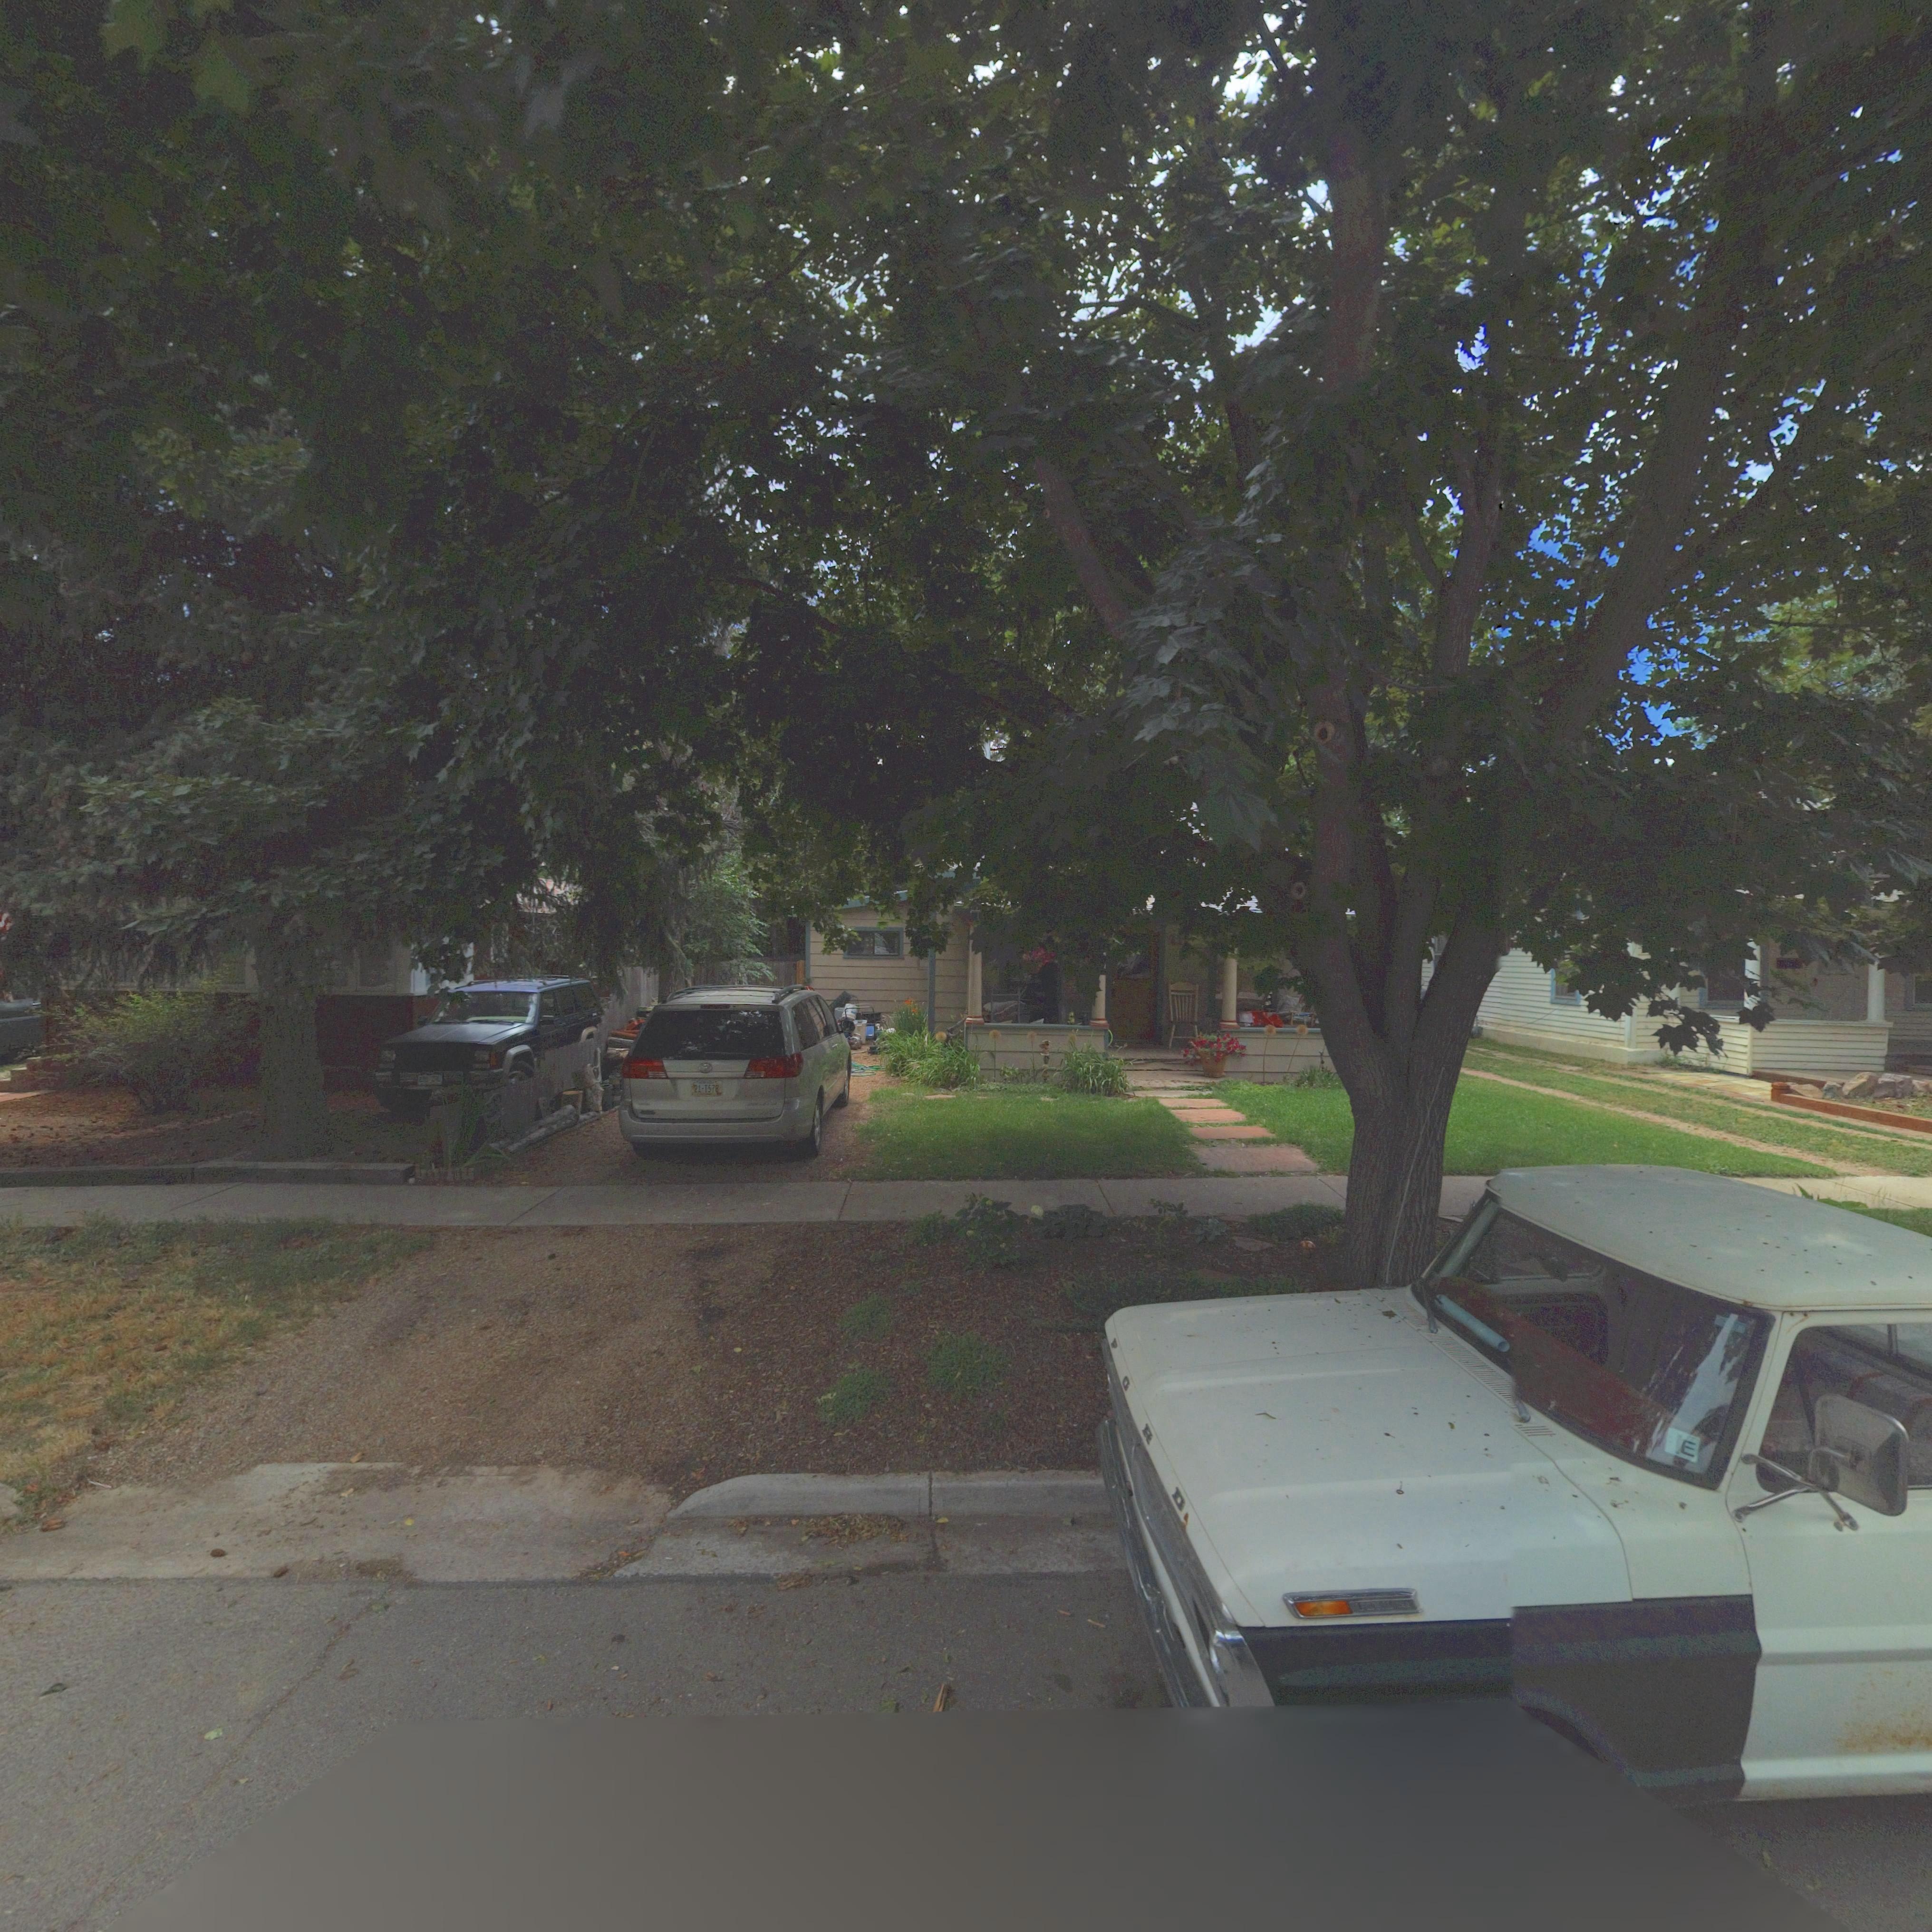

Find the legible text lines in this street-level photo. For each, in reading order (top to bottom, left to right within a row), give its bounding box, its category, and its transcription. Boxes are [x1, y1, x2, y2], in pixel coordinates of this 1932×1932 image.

[1168, 934, 1184, 946] StreetNumber: 41